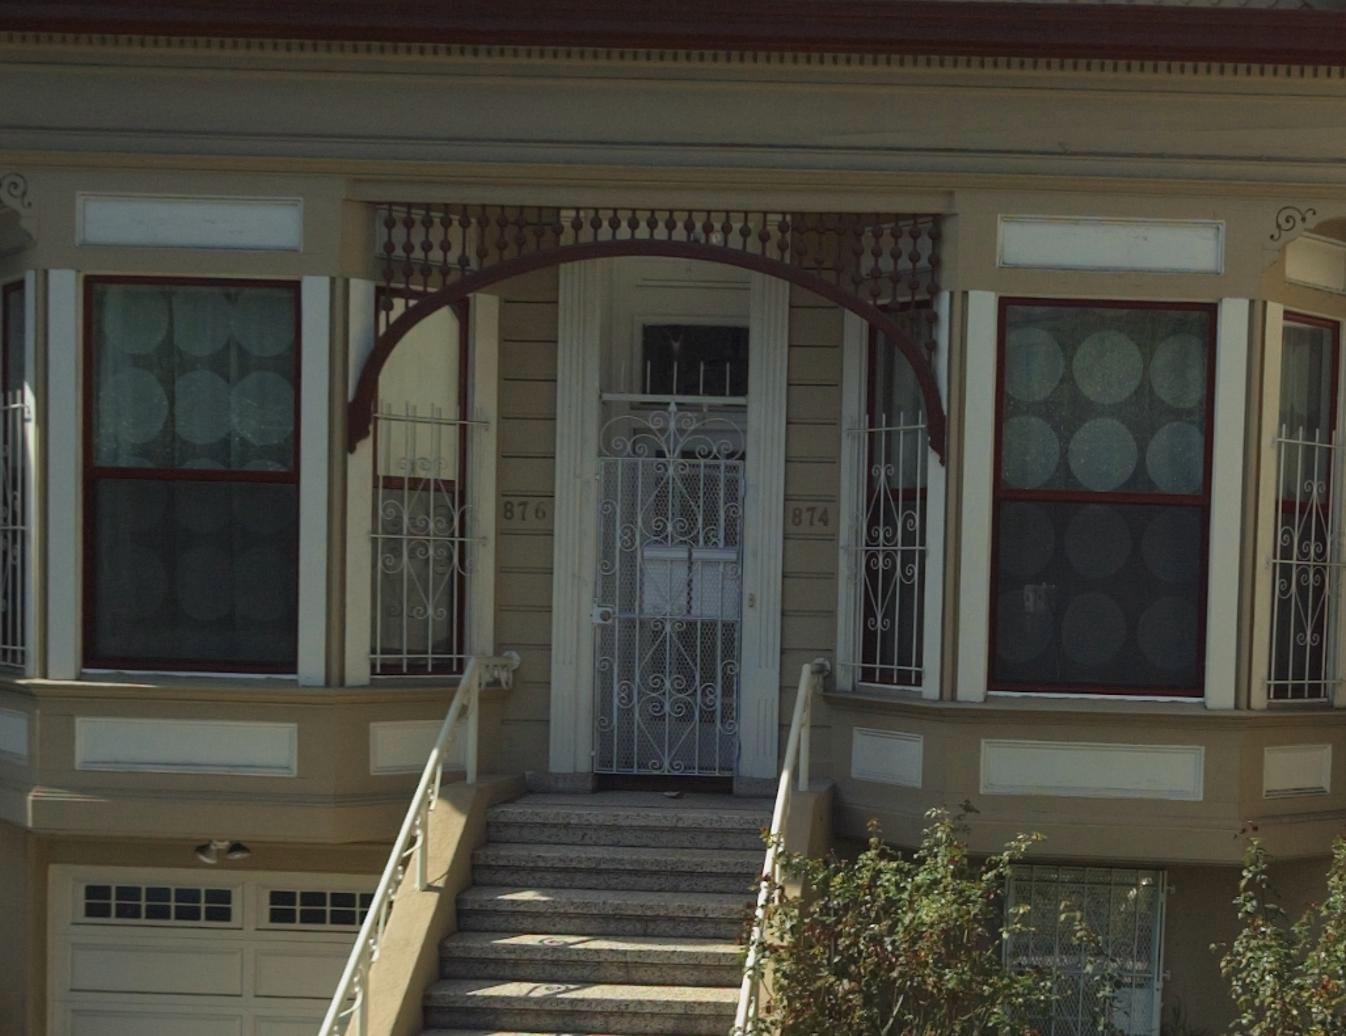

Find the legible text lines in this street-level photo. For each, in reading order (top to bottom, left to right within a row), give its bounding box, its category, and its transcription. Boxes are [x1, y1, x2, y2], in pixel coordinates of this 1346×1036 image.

[502, 500, 547, 522] StreetNumber: 876
[790, 505, 829, 528] StreetNumber: 874